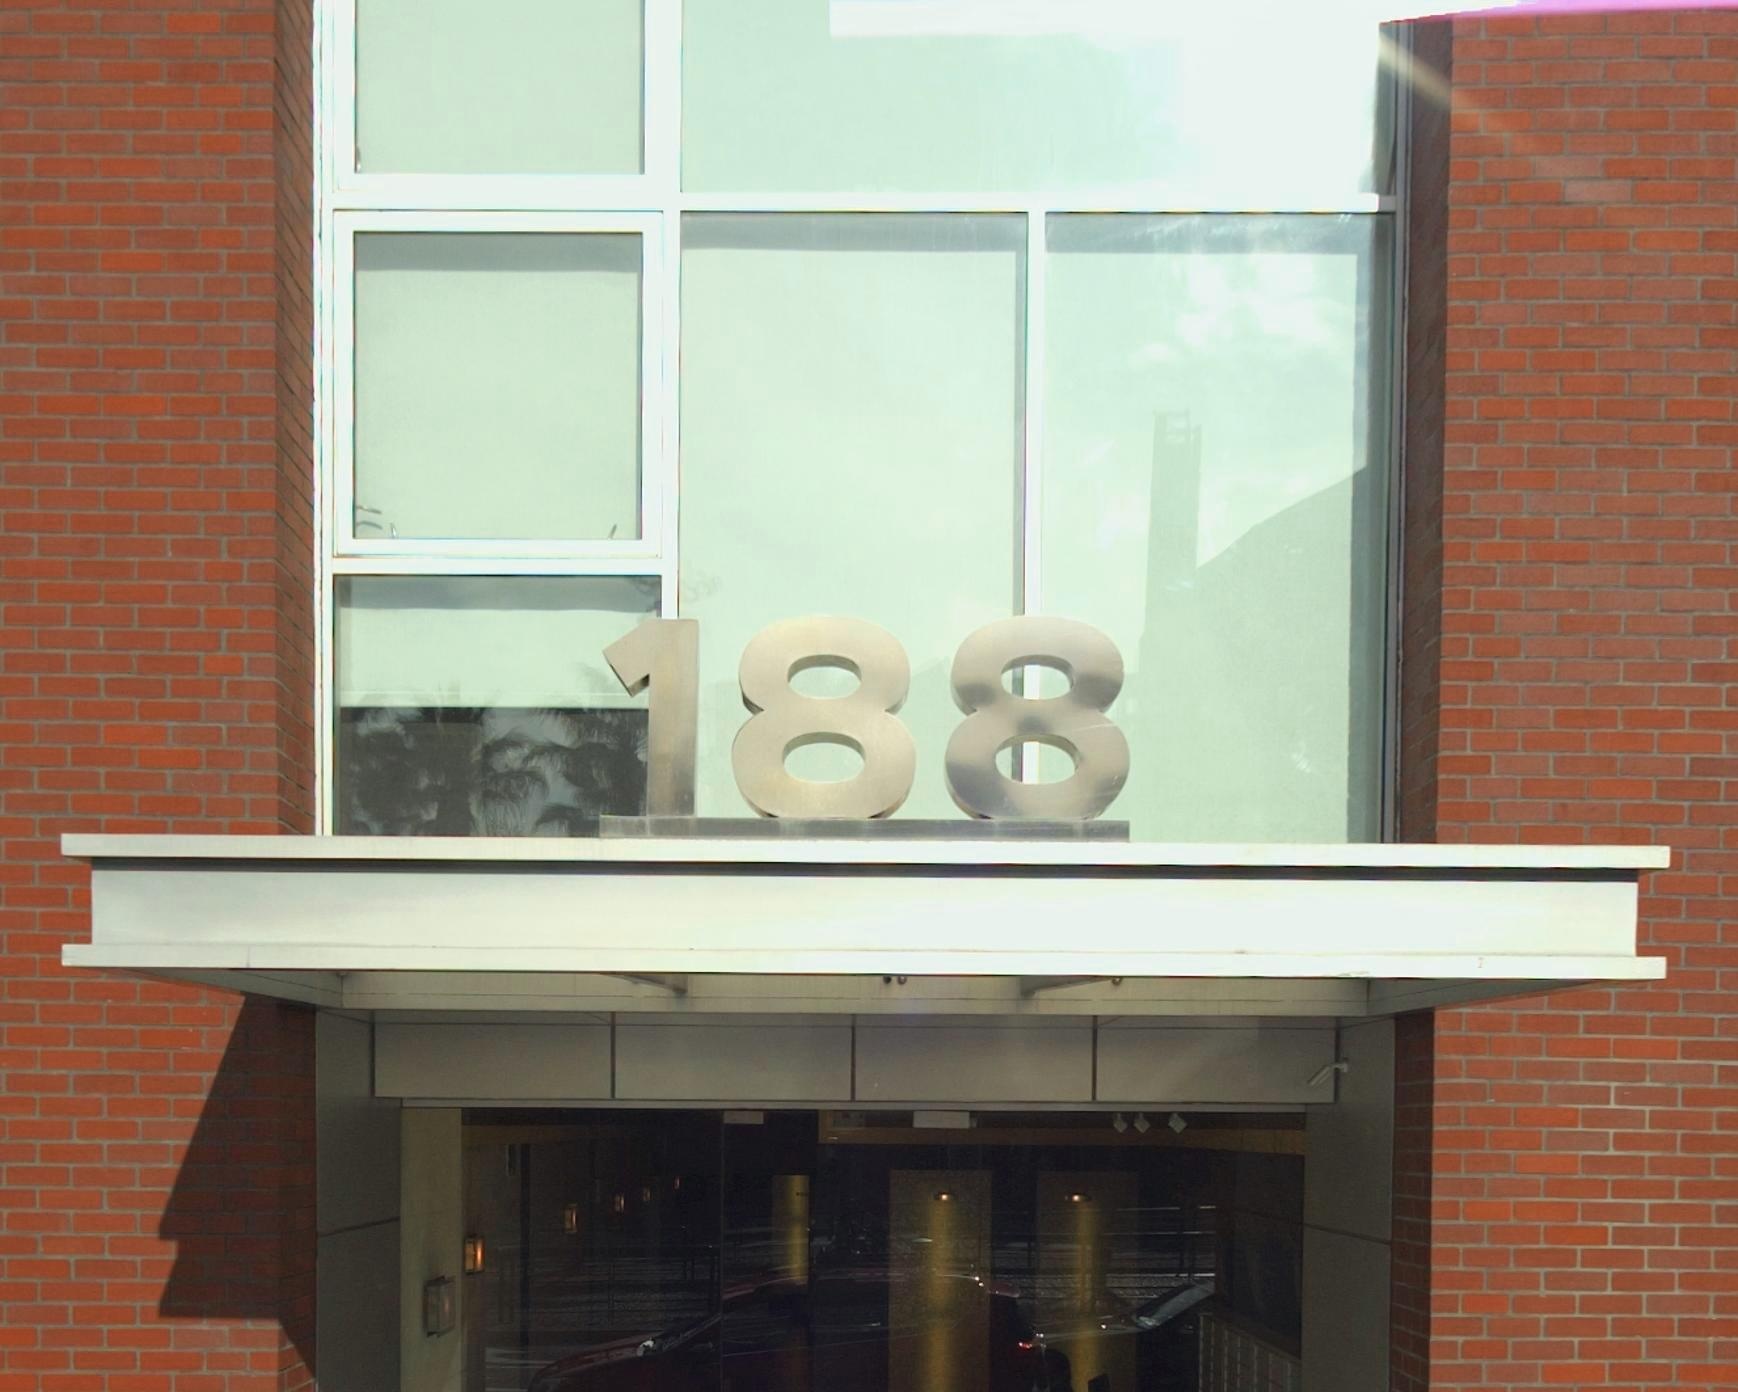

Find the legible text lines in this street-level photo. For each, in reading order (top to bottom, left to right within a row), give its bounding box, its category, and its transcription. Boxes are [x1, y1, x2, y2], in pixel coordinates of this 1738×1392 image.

[595, 613, 1136, 826] StreetNumber: 188